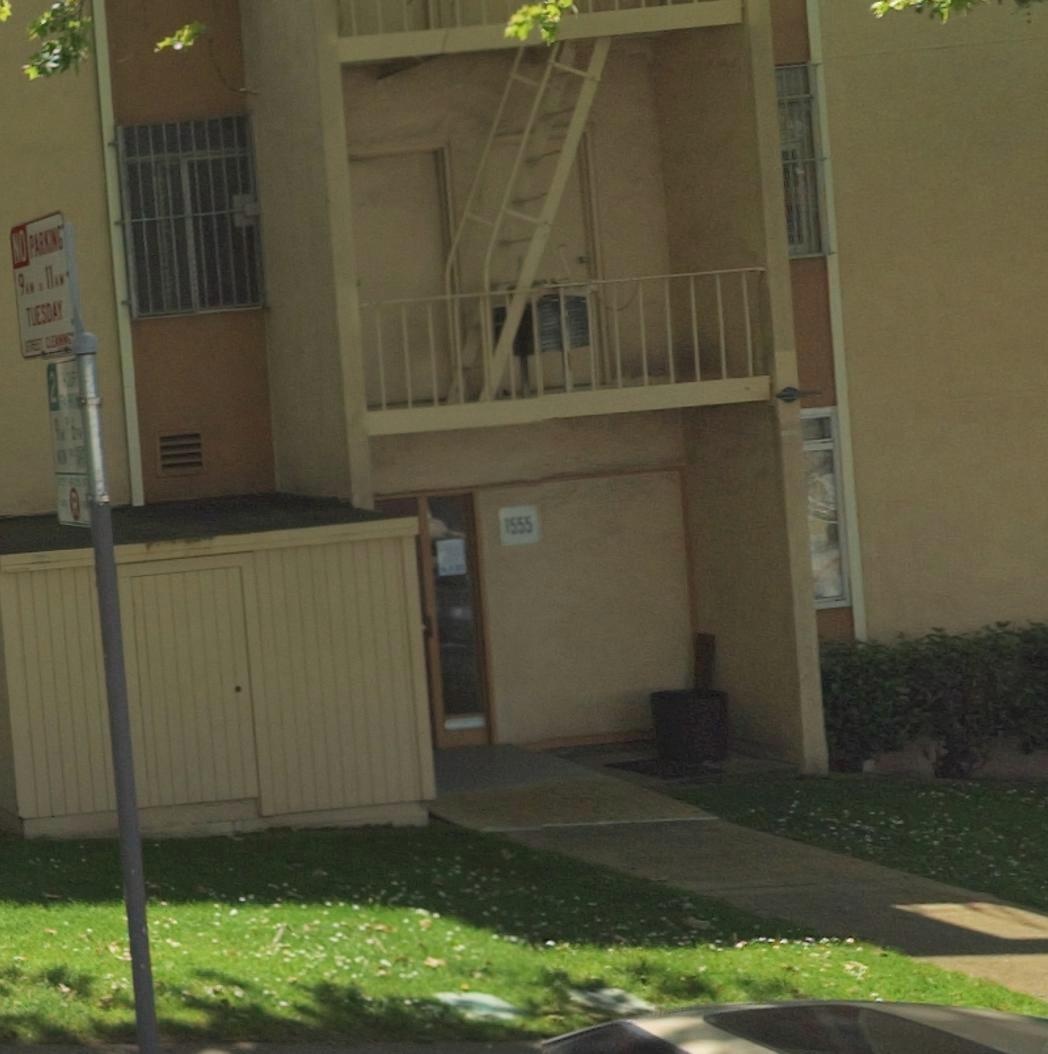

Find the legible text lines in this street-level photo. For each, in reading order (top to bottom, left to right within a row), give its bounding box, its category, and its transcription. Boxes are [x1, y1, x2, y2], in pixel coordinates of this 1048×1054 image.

[8, 223, 67, 267] None: NO PARKING
[14, 262, 68, 298] None: 9AM*11AM
[23, 297, 65, 329] None: TUESDAY
[21, 330, 76, 356] None: STREET CLEANING
[46, 369, 60, 404] None: 2
[51, 416, 63, 444] None: 9
[68, 416, 78, 442] None: 6
[501, 514, 534, 537] StreetNumber: 1555